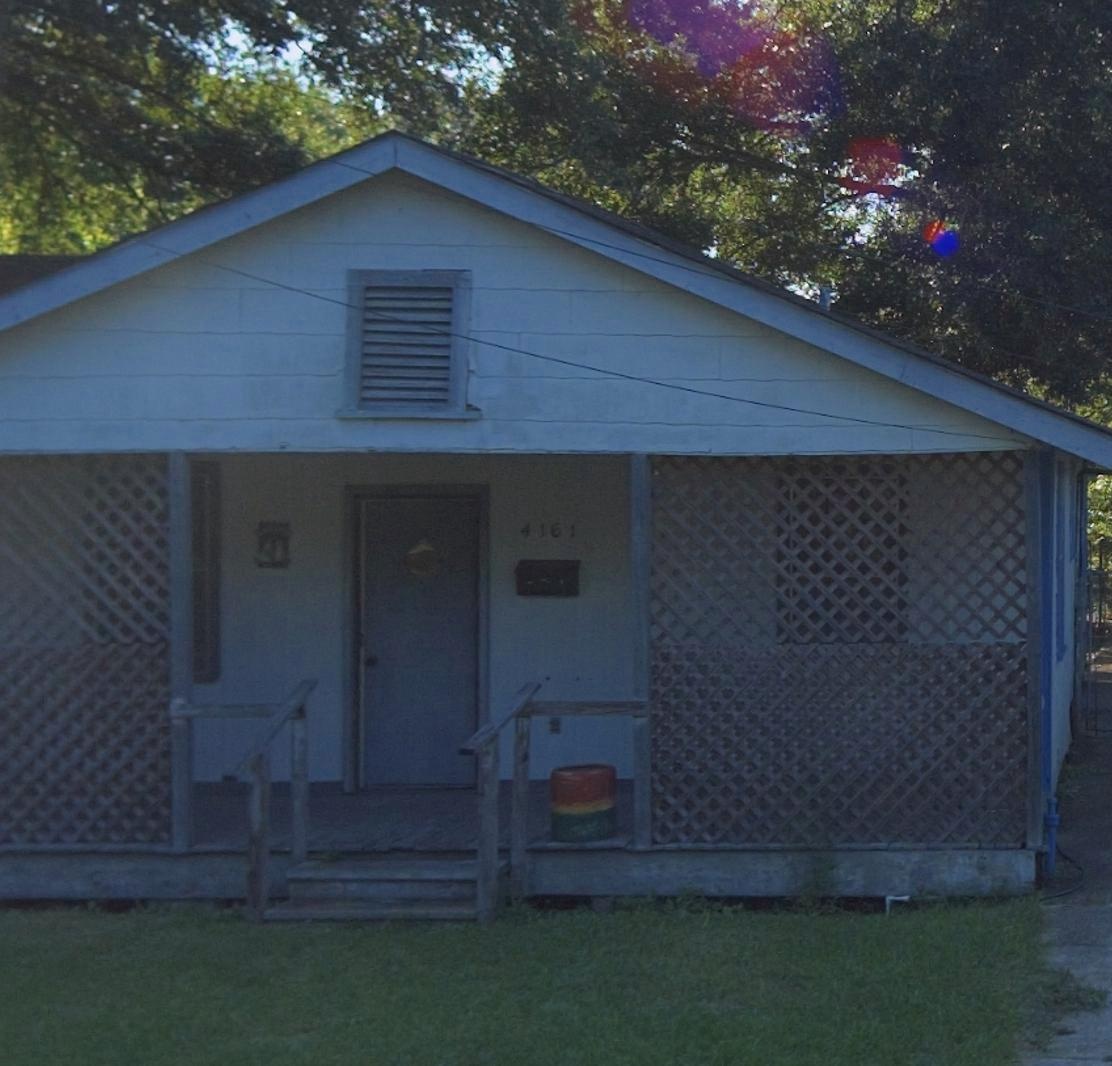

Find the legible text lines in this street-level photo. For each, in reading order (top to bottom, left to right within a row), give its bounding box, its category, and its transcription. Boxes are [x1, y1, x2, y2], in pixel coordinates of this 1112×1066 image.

[520, 521, 577, 539] StreetNumber: 4161